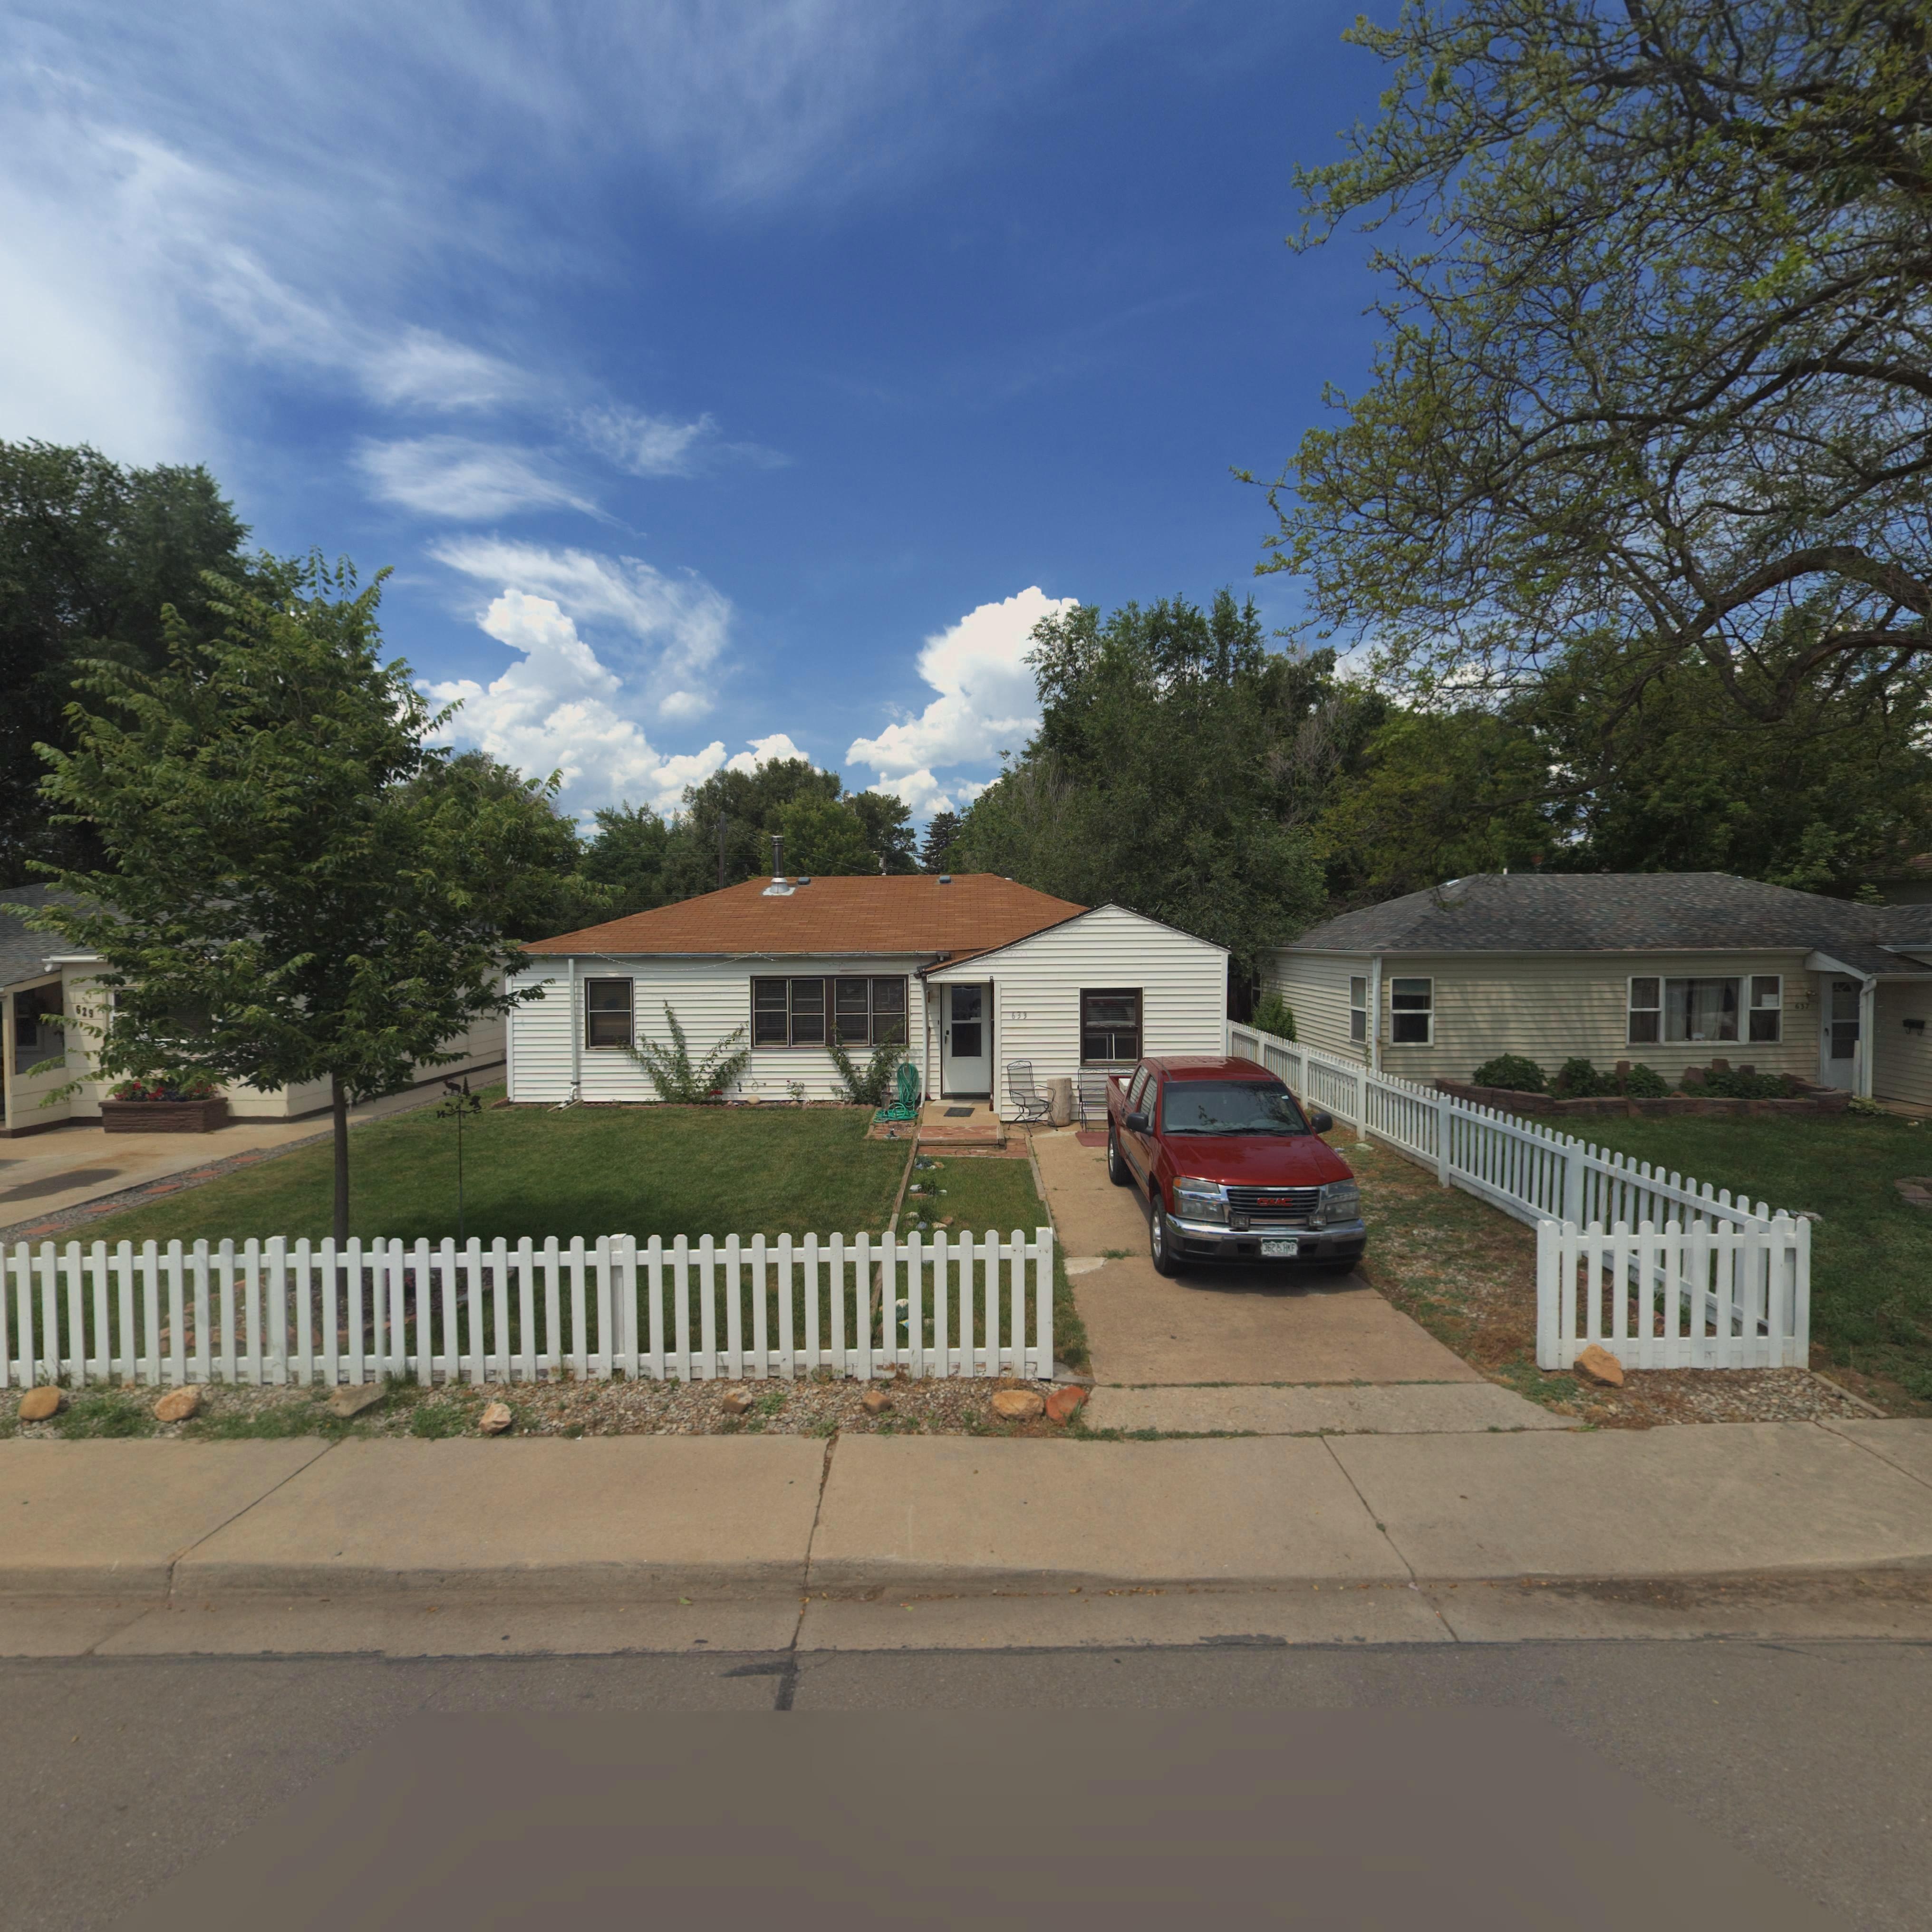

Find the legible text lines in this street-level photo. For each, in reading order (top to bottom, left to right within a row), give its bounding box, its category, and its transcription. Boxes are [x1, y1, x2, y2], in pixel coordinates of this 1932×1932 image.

[1795, 1003, 1809, 1009] StreetNumber: 637
[76, 1005, 93, 1018] StreetNumber: 629
[1011, 1011, 1027, 1019] StreetNumber: 633